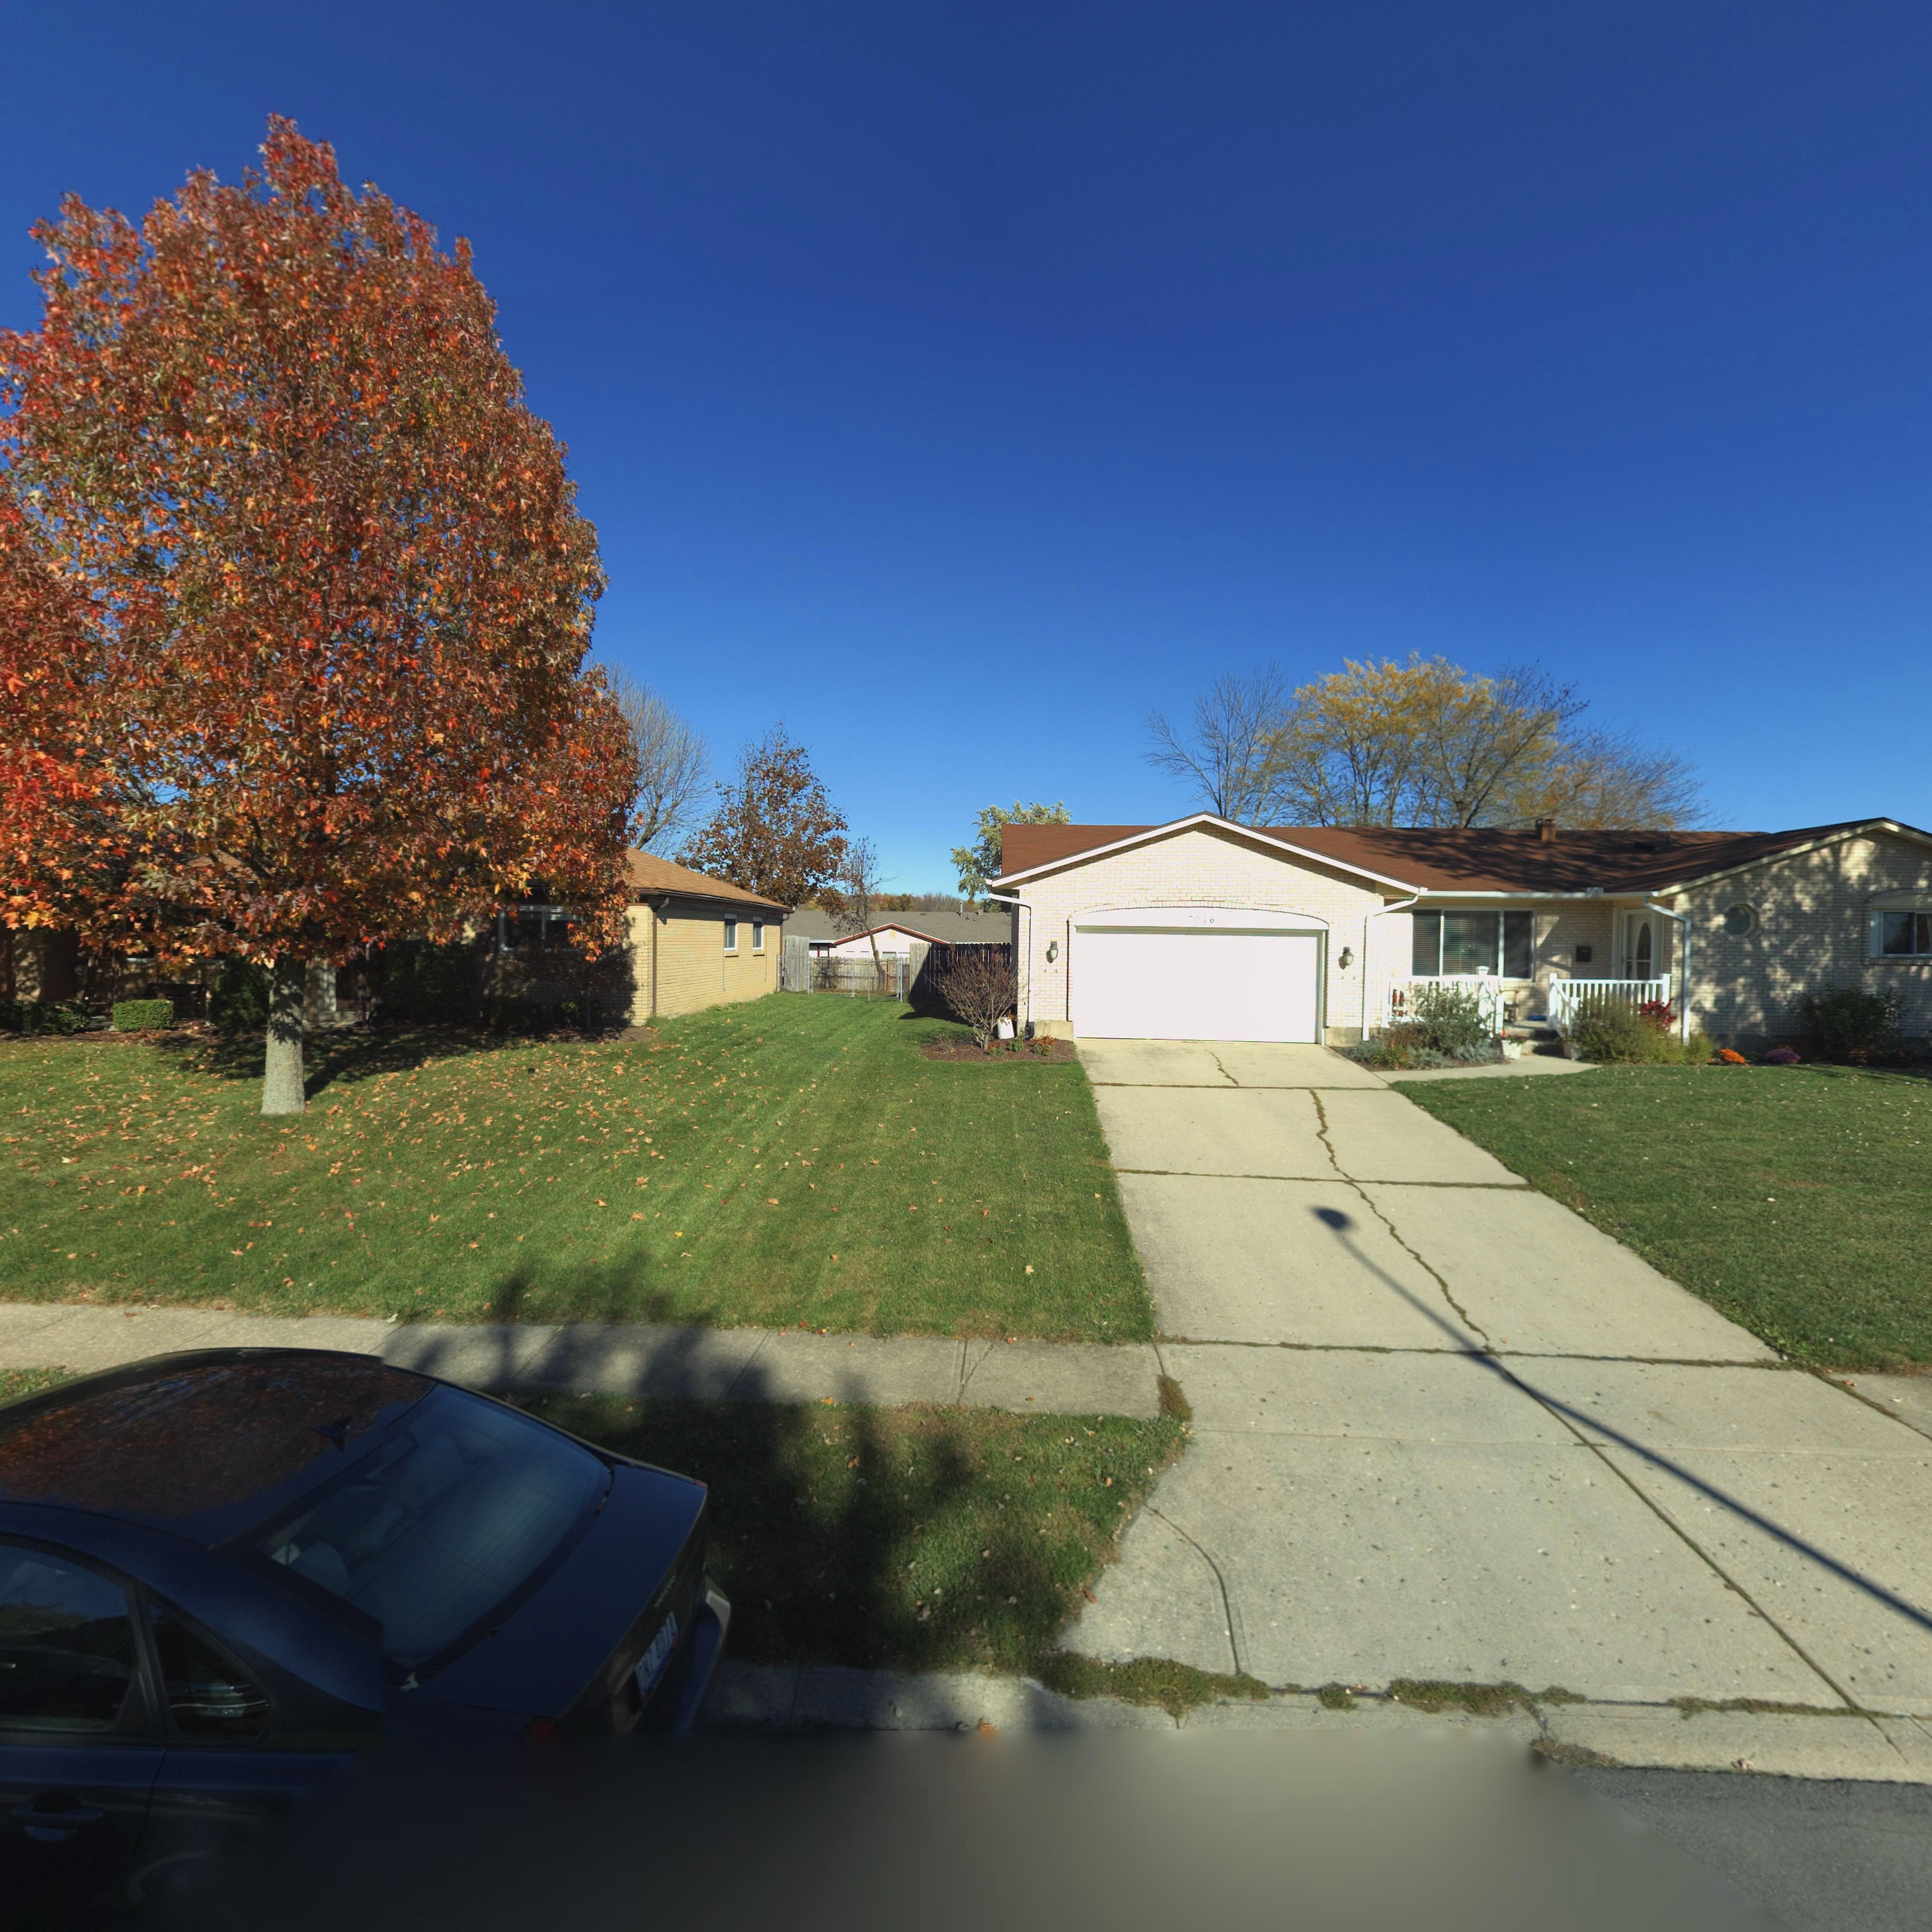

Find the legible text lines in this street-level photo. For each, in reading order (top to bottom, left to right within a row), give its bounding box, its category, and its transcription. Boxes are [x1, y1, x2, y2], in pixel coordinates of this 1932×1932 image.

[1188, 915, 1215, 924] StreetNumber: 7046